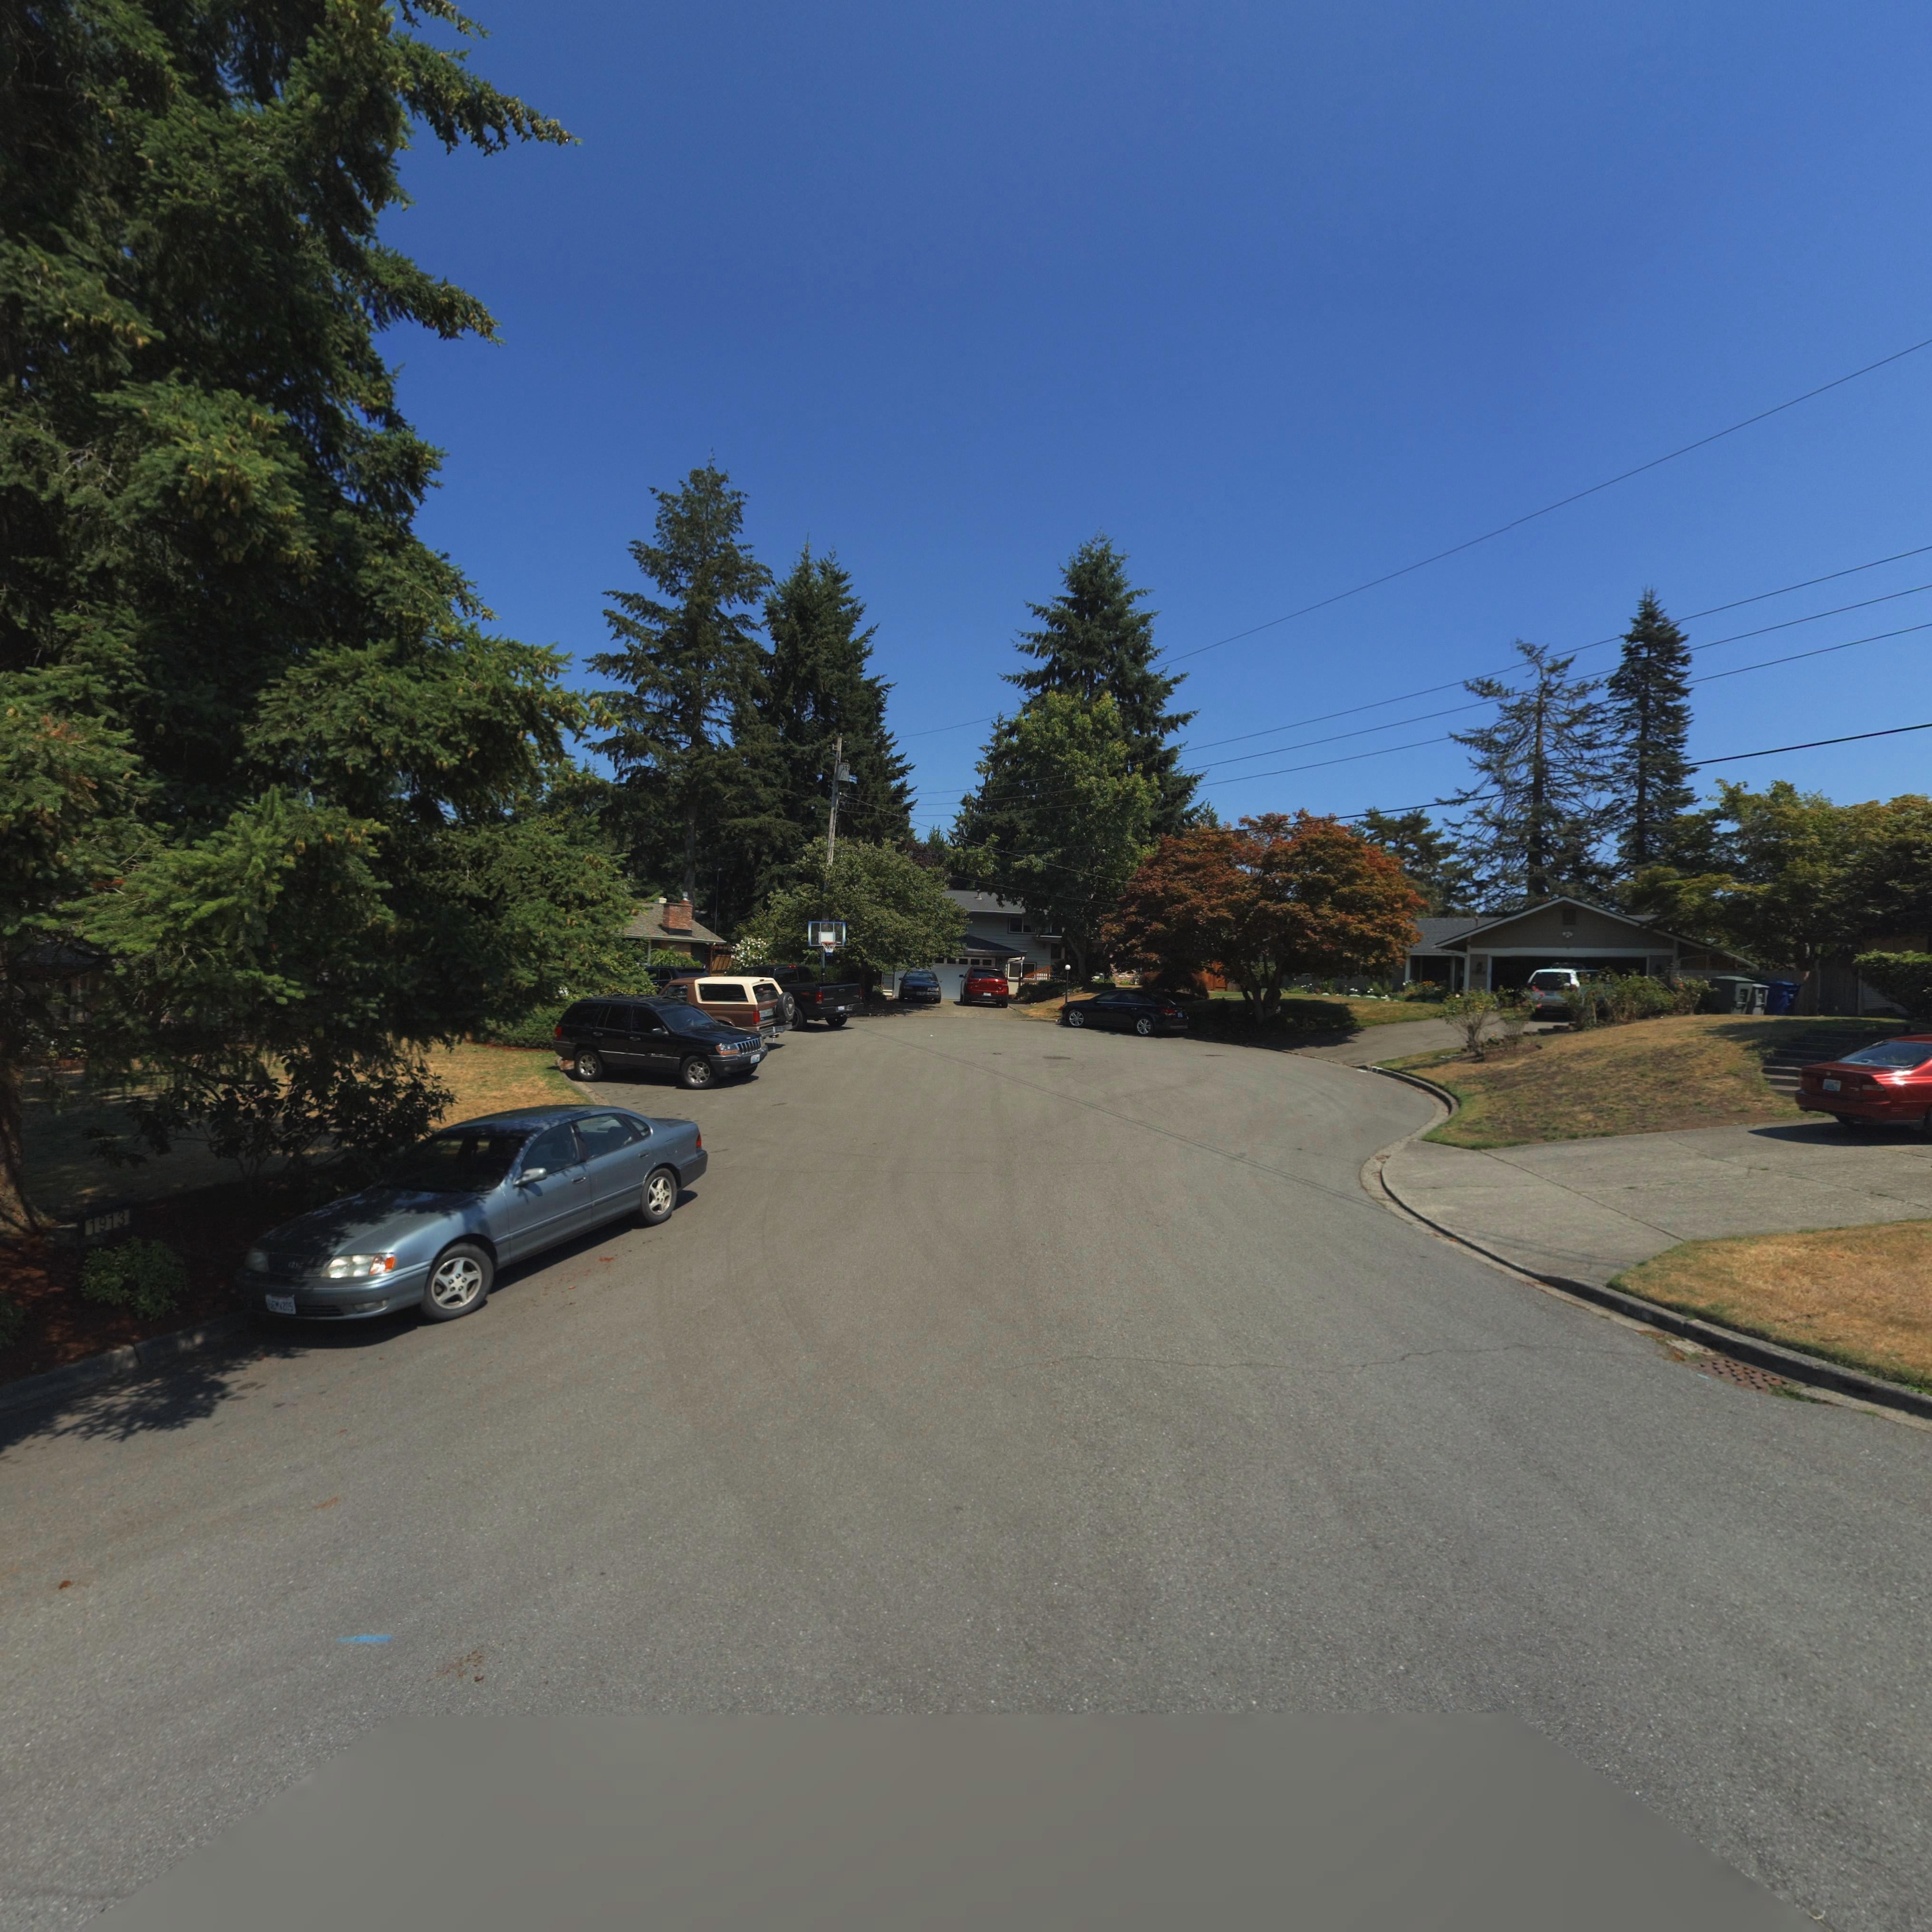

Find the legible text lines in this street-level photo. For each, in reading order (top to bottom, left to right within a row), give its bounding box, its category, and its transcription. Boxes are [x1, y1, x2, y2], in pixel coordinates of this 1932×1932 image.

[89, 1210, 126, 1235] StreetNumber: 1913